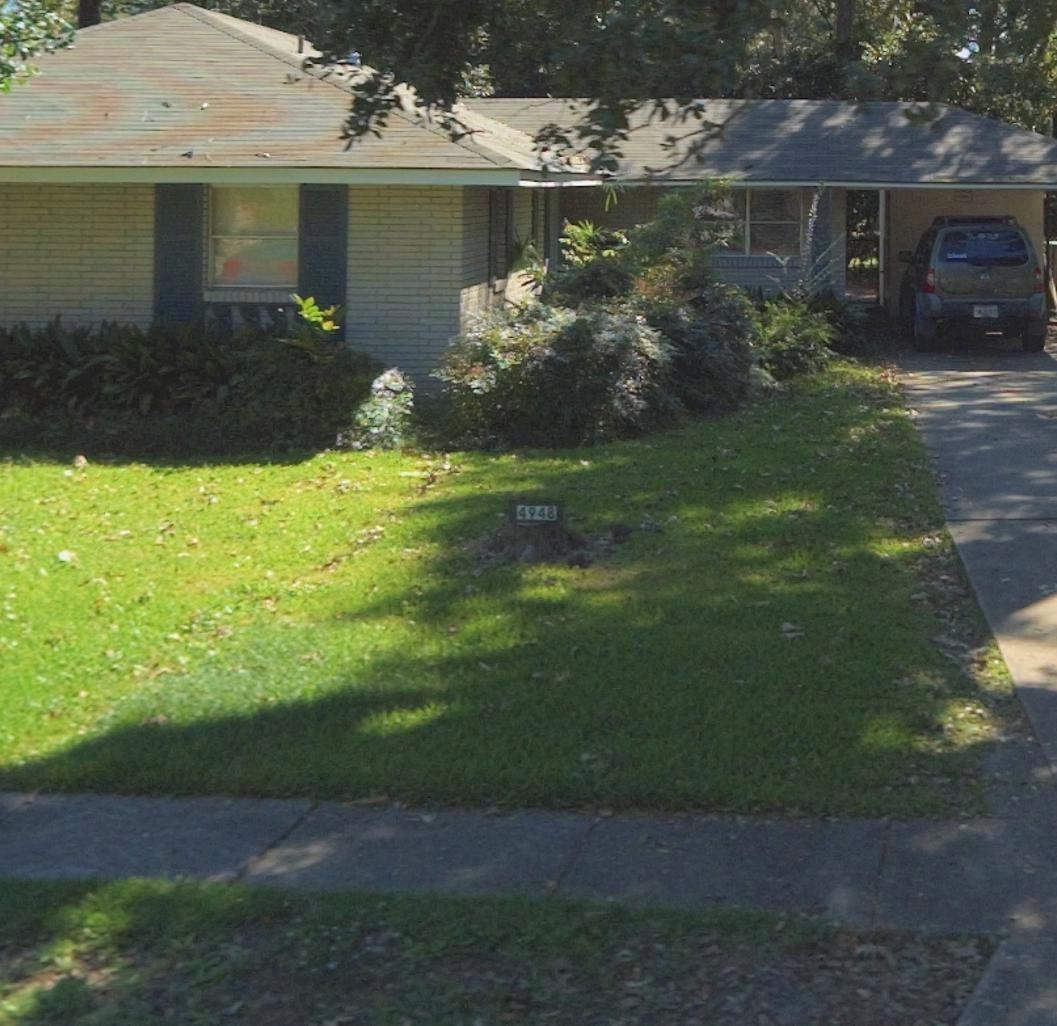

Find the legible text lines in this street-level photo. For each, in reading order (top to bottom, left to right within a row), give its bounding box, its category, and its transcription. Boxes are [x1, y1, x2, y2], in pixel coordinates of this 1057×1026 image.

[517, 505, 556, 520] StreetNumber: 4948